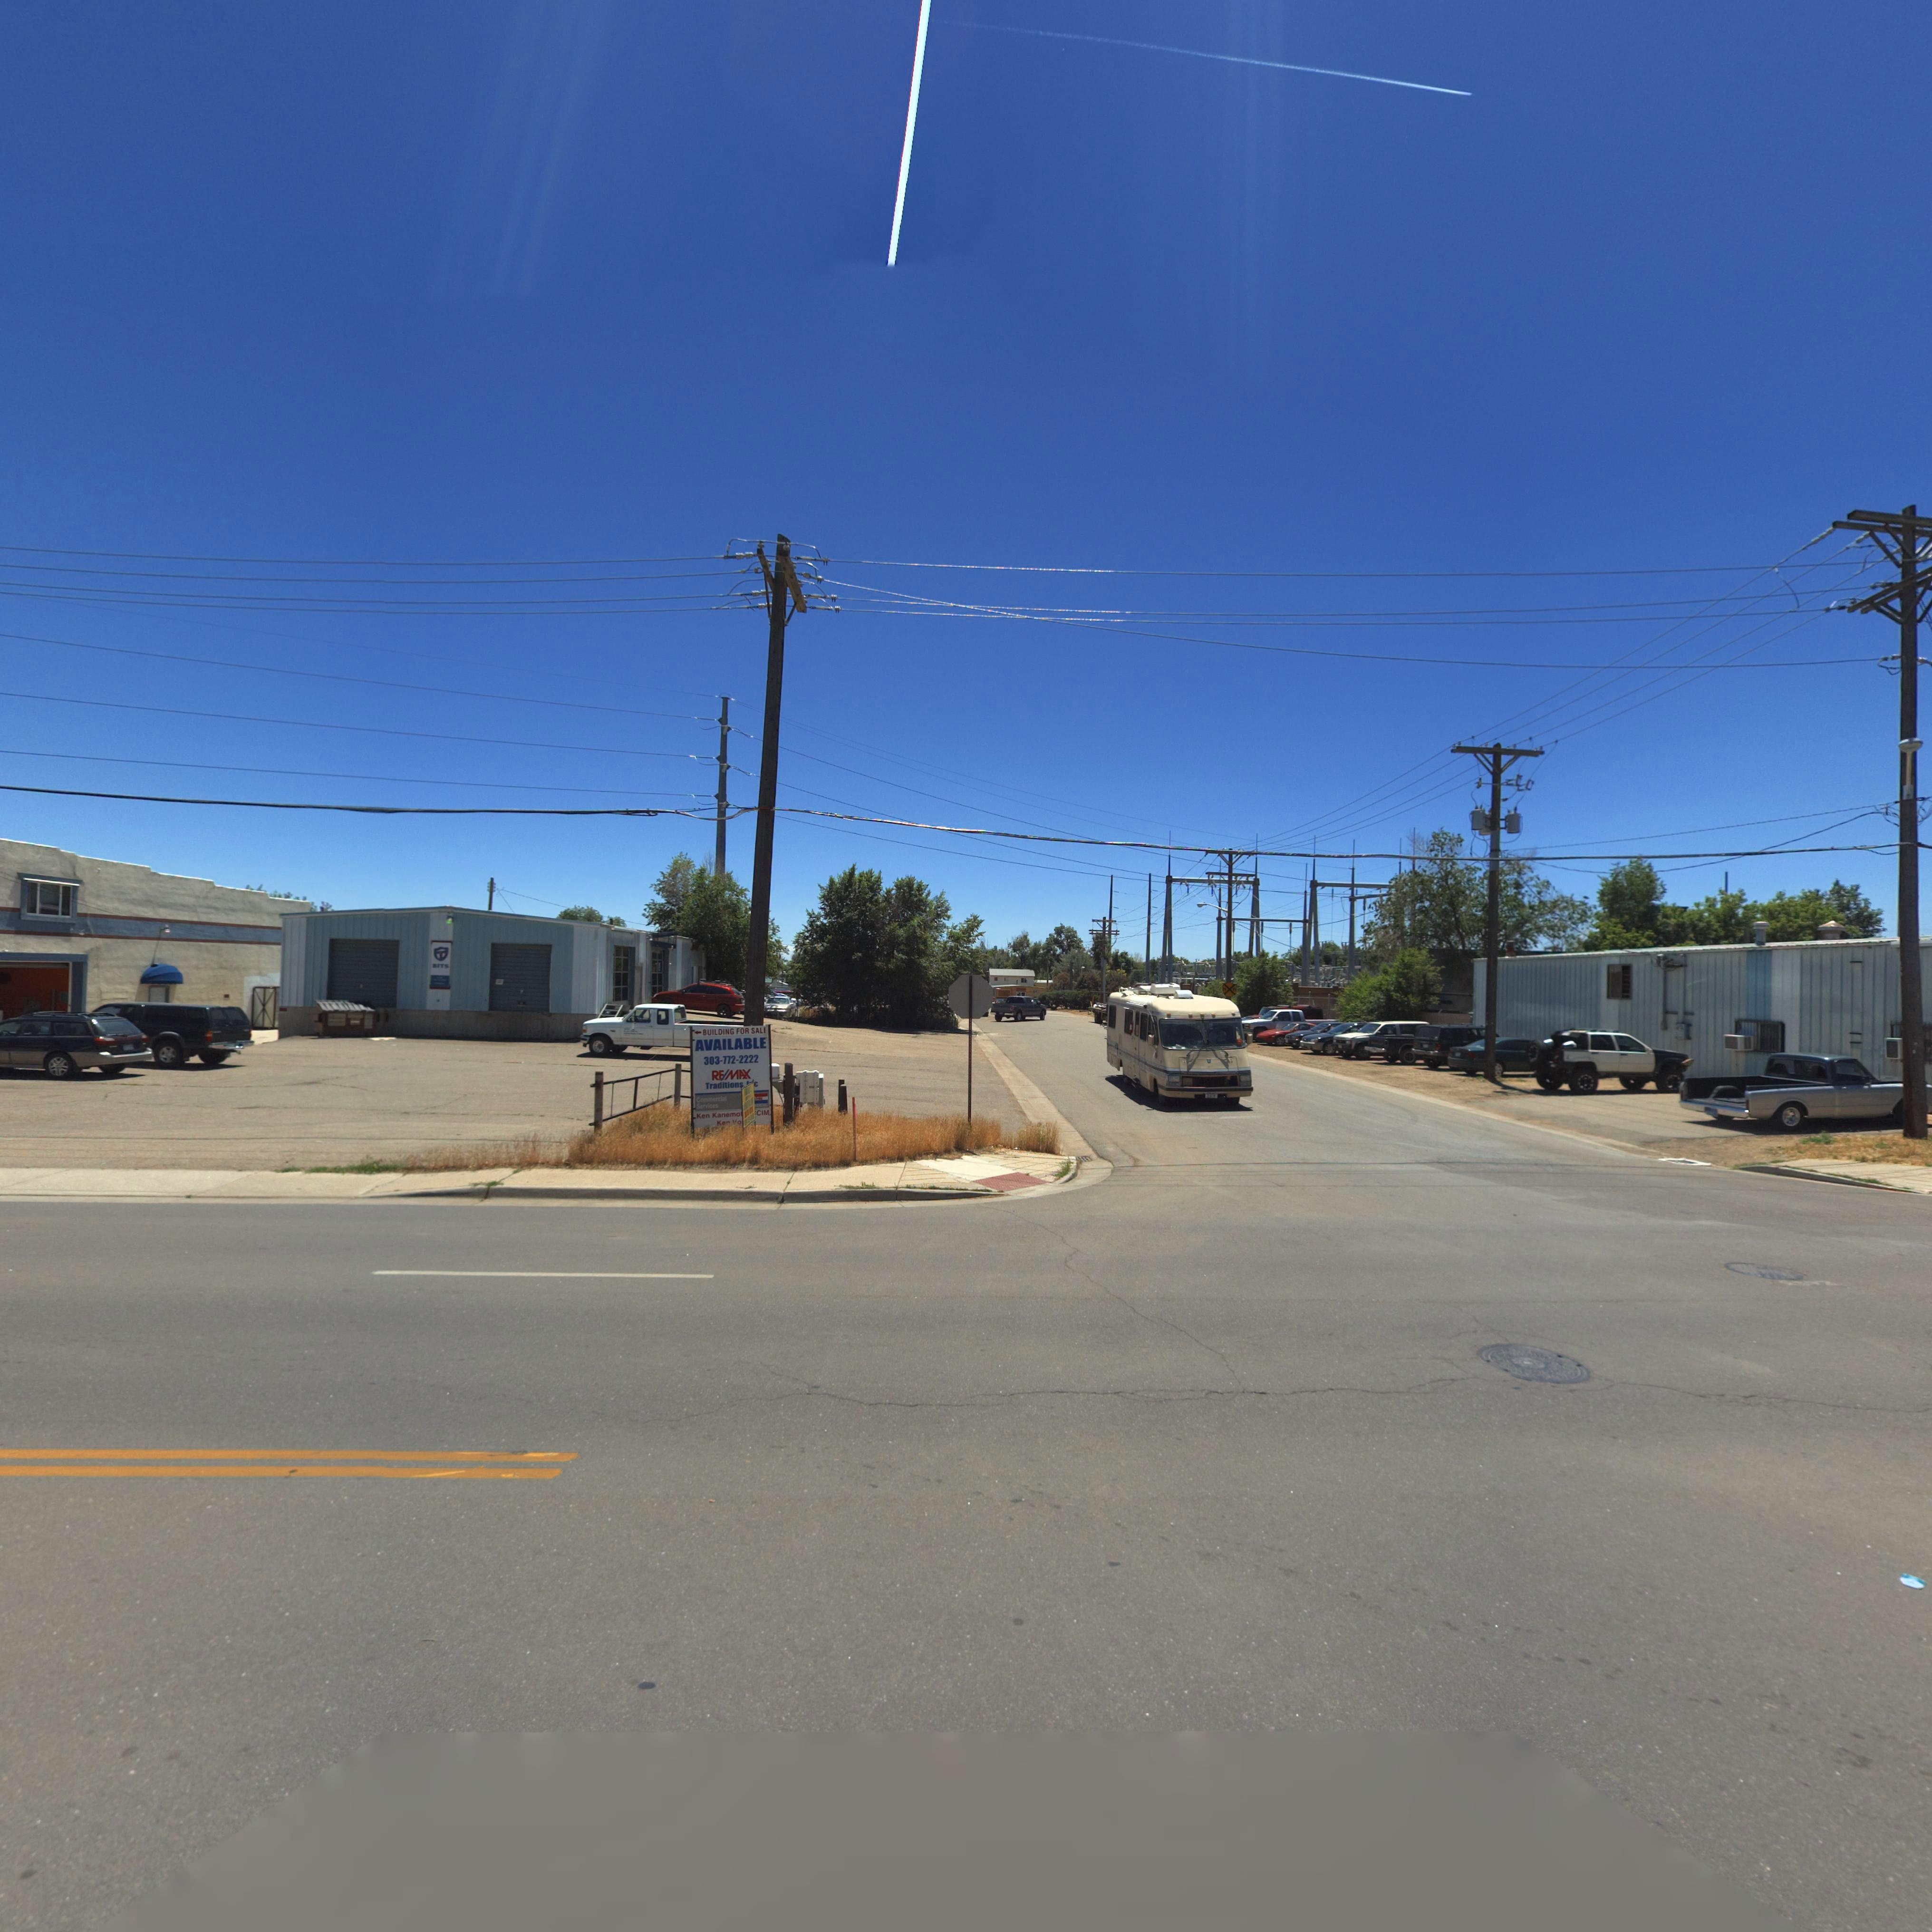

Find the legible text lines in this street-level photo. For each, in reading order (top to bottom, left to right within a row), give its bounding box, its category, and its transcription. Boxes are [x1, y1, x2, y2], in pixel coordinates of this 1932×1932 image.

[432, 963, 449, 968] BusinessName: BITS